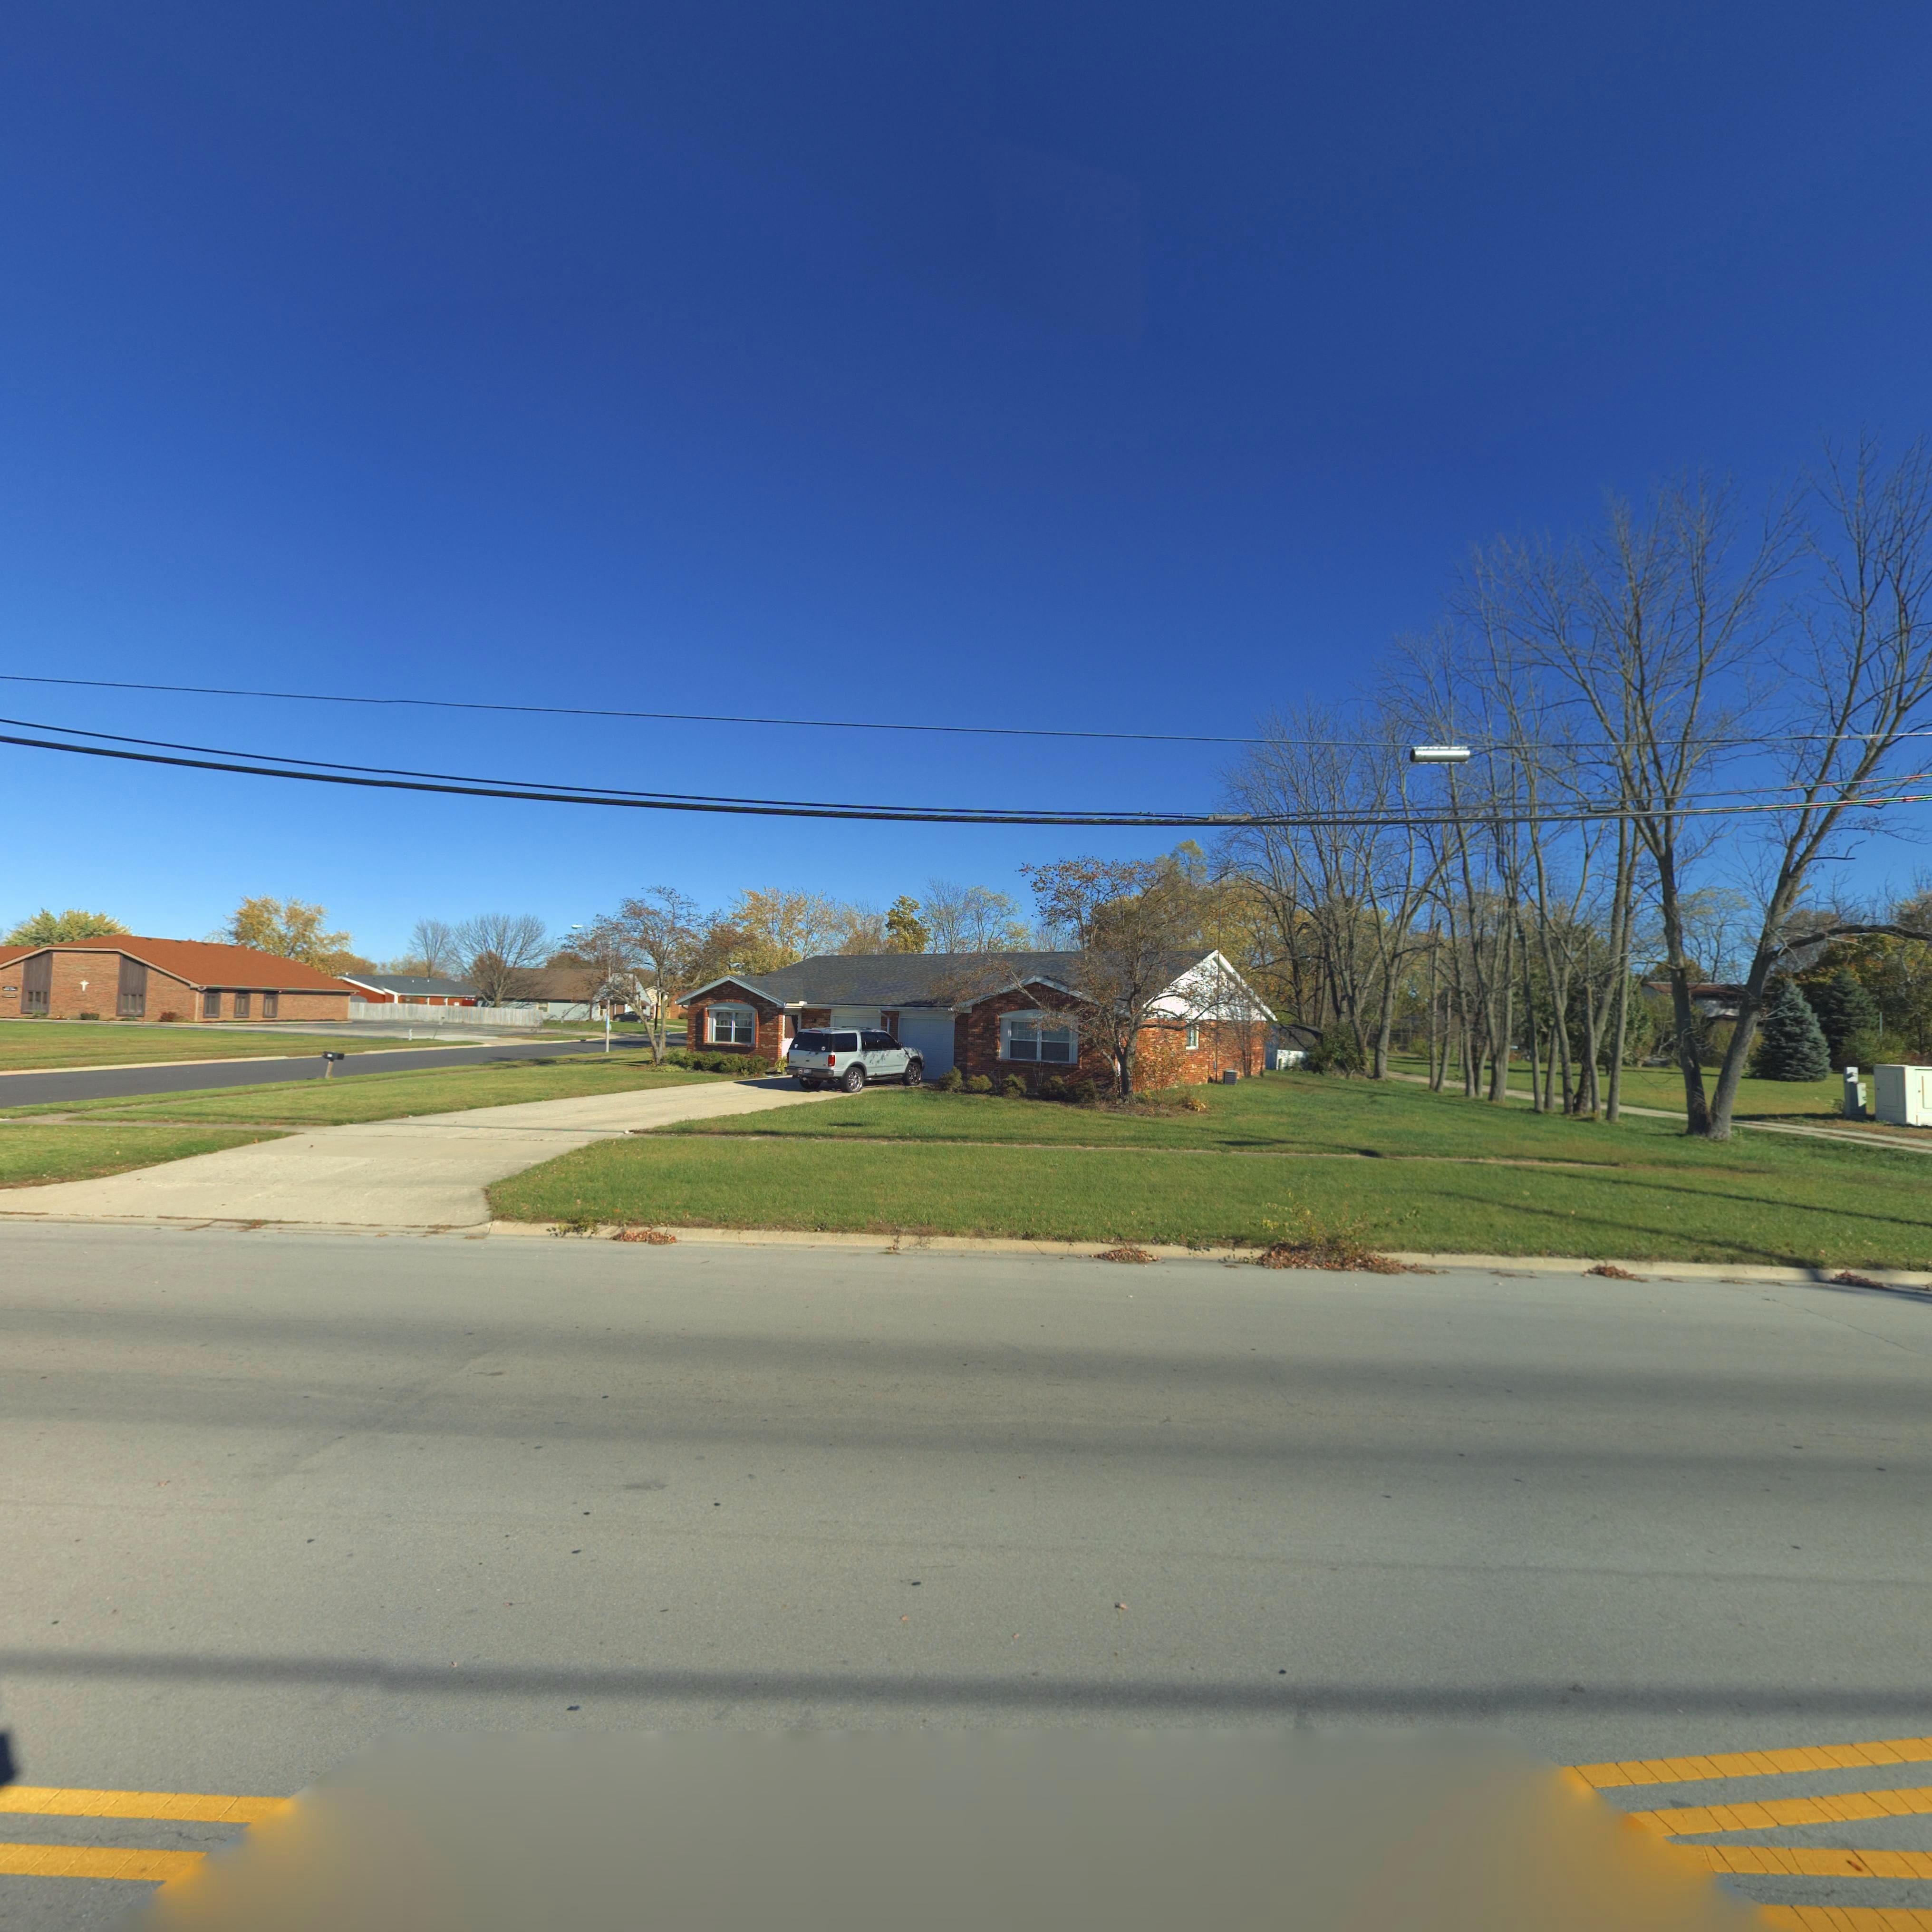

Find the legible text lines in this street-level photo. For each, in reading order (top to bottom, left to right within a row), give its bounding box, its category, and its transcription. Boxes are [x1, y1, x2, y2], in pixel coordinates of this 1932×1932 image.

[1032, 1012, 1042, 1017] StreetNumber: 1252